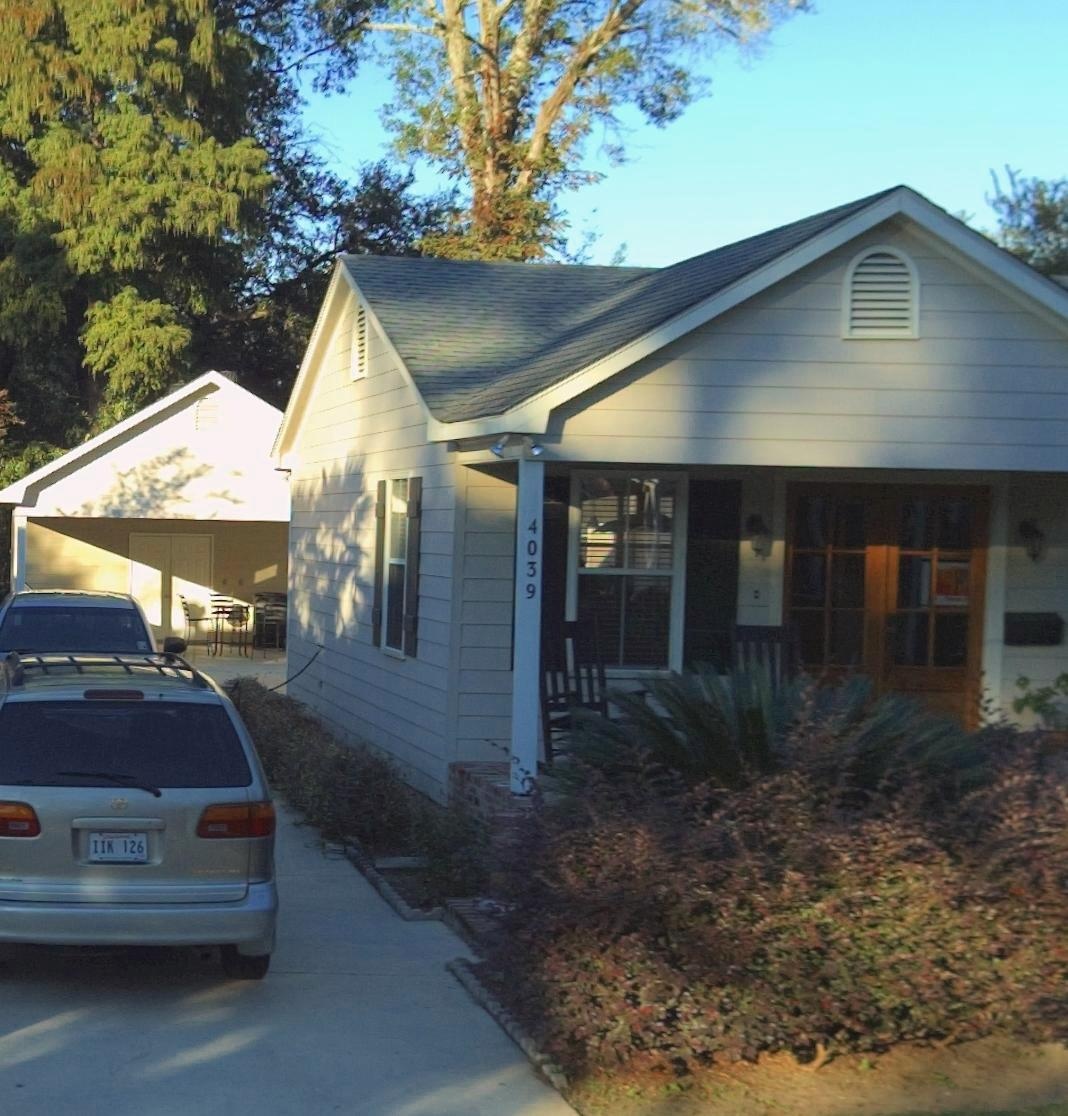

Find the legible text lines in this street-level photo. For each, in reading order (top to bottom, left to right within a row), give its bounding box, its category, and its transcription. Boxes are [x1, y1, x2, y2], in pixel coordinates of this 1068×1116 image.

[522, 515, 541, 601] StreetNumber: 4039
[90, 838, 146, 856] None: IIK 126